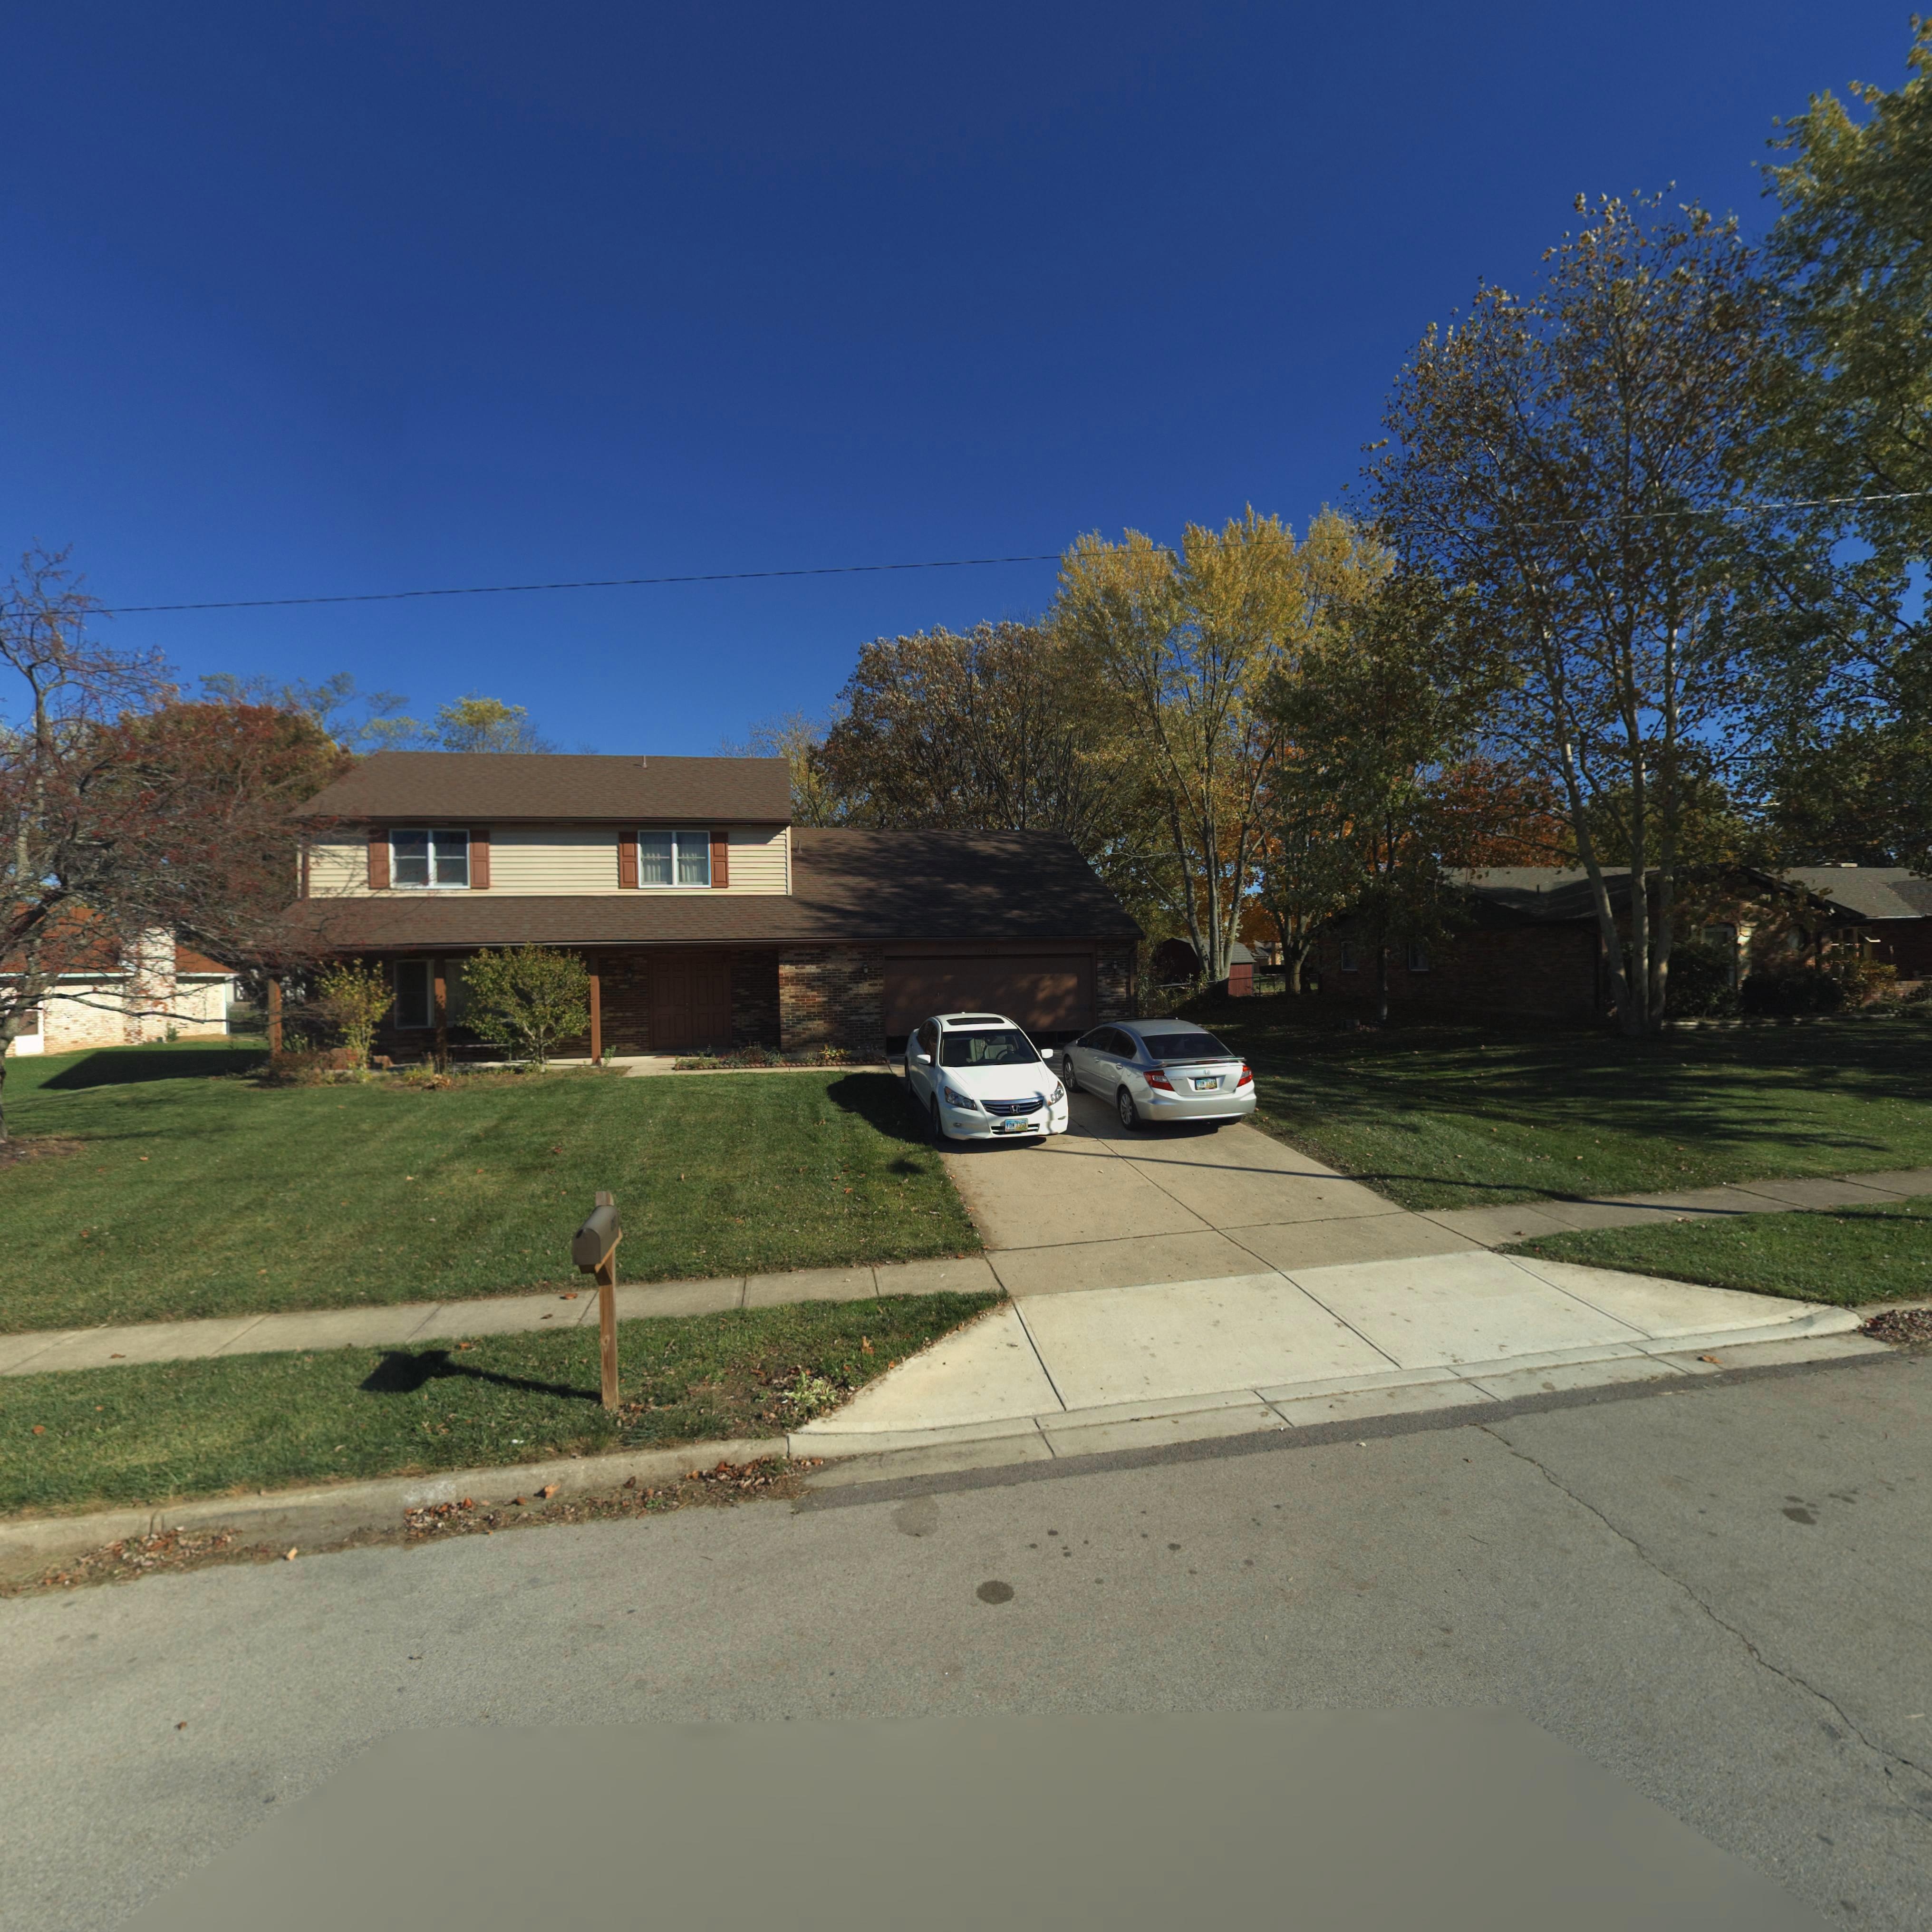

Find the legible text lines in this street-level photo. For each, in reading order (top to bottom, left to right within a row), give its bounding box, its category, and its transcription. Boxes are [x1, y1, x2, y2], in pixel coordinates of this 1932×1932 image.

[983, 947, 998, 954] StreetNumber: 4202